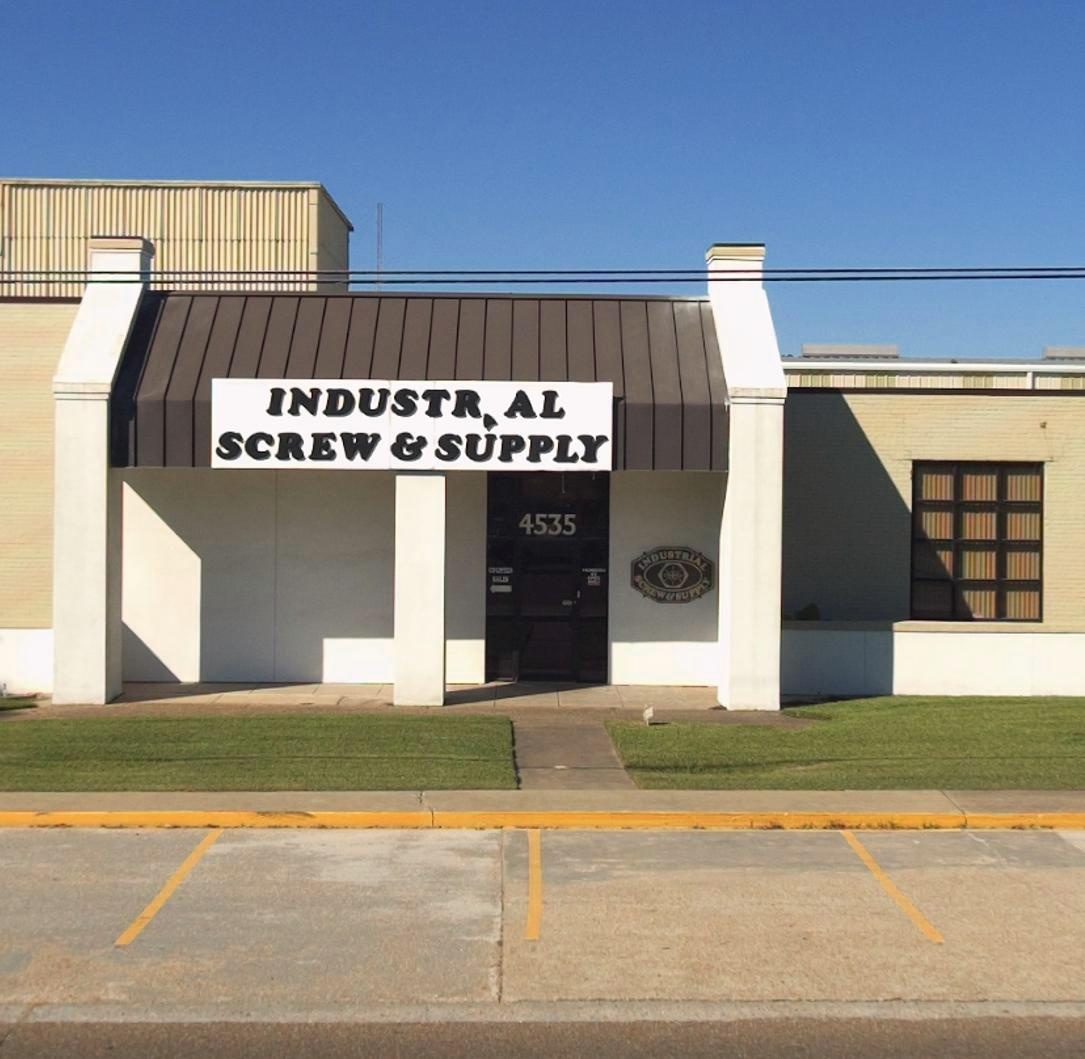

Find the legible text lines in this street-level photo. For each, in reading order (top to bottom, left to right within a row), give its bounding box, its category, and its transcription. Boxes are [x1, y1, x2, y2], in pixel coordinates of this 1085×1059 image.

[264, 385, 568, 419] BusinessName: INDUSTR AL
[214, 429, 611, 465] BusinessName: SCREW & SUPPLY
[517, 511, 579, 537] StreetNumber: 4535
[635, 548, 711, 572] BusinessName: INDUSTRIAL
[633, 575, 712, 602] BusinessName: SCREW & SUPPLY